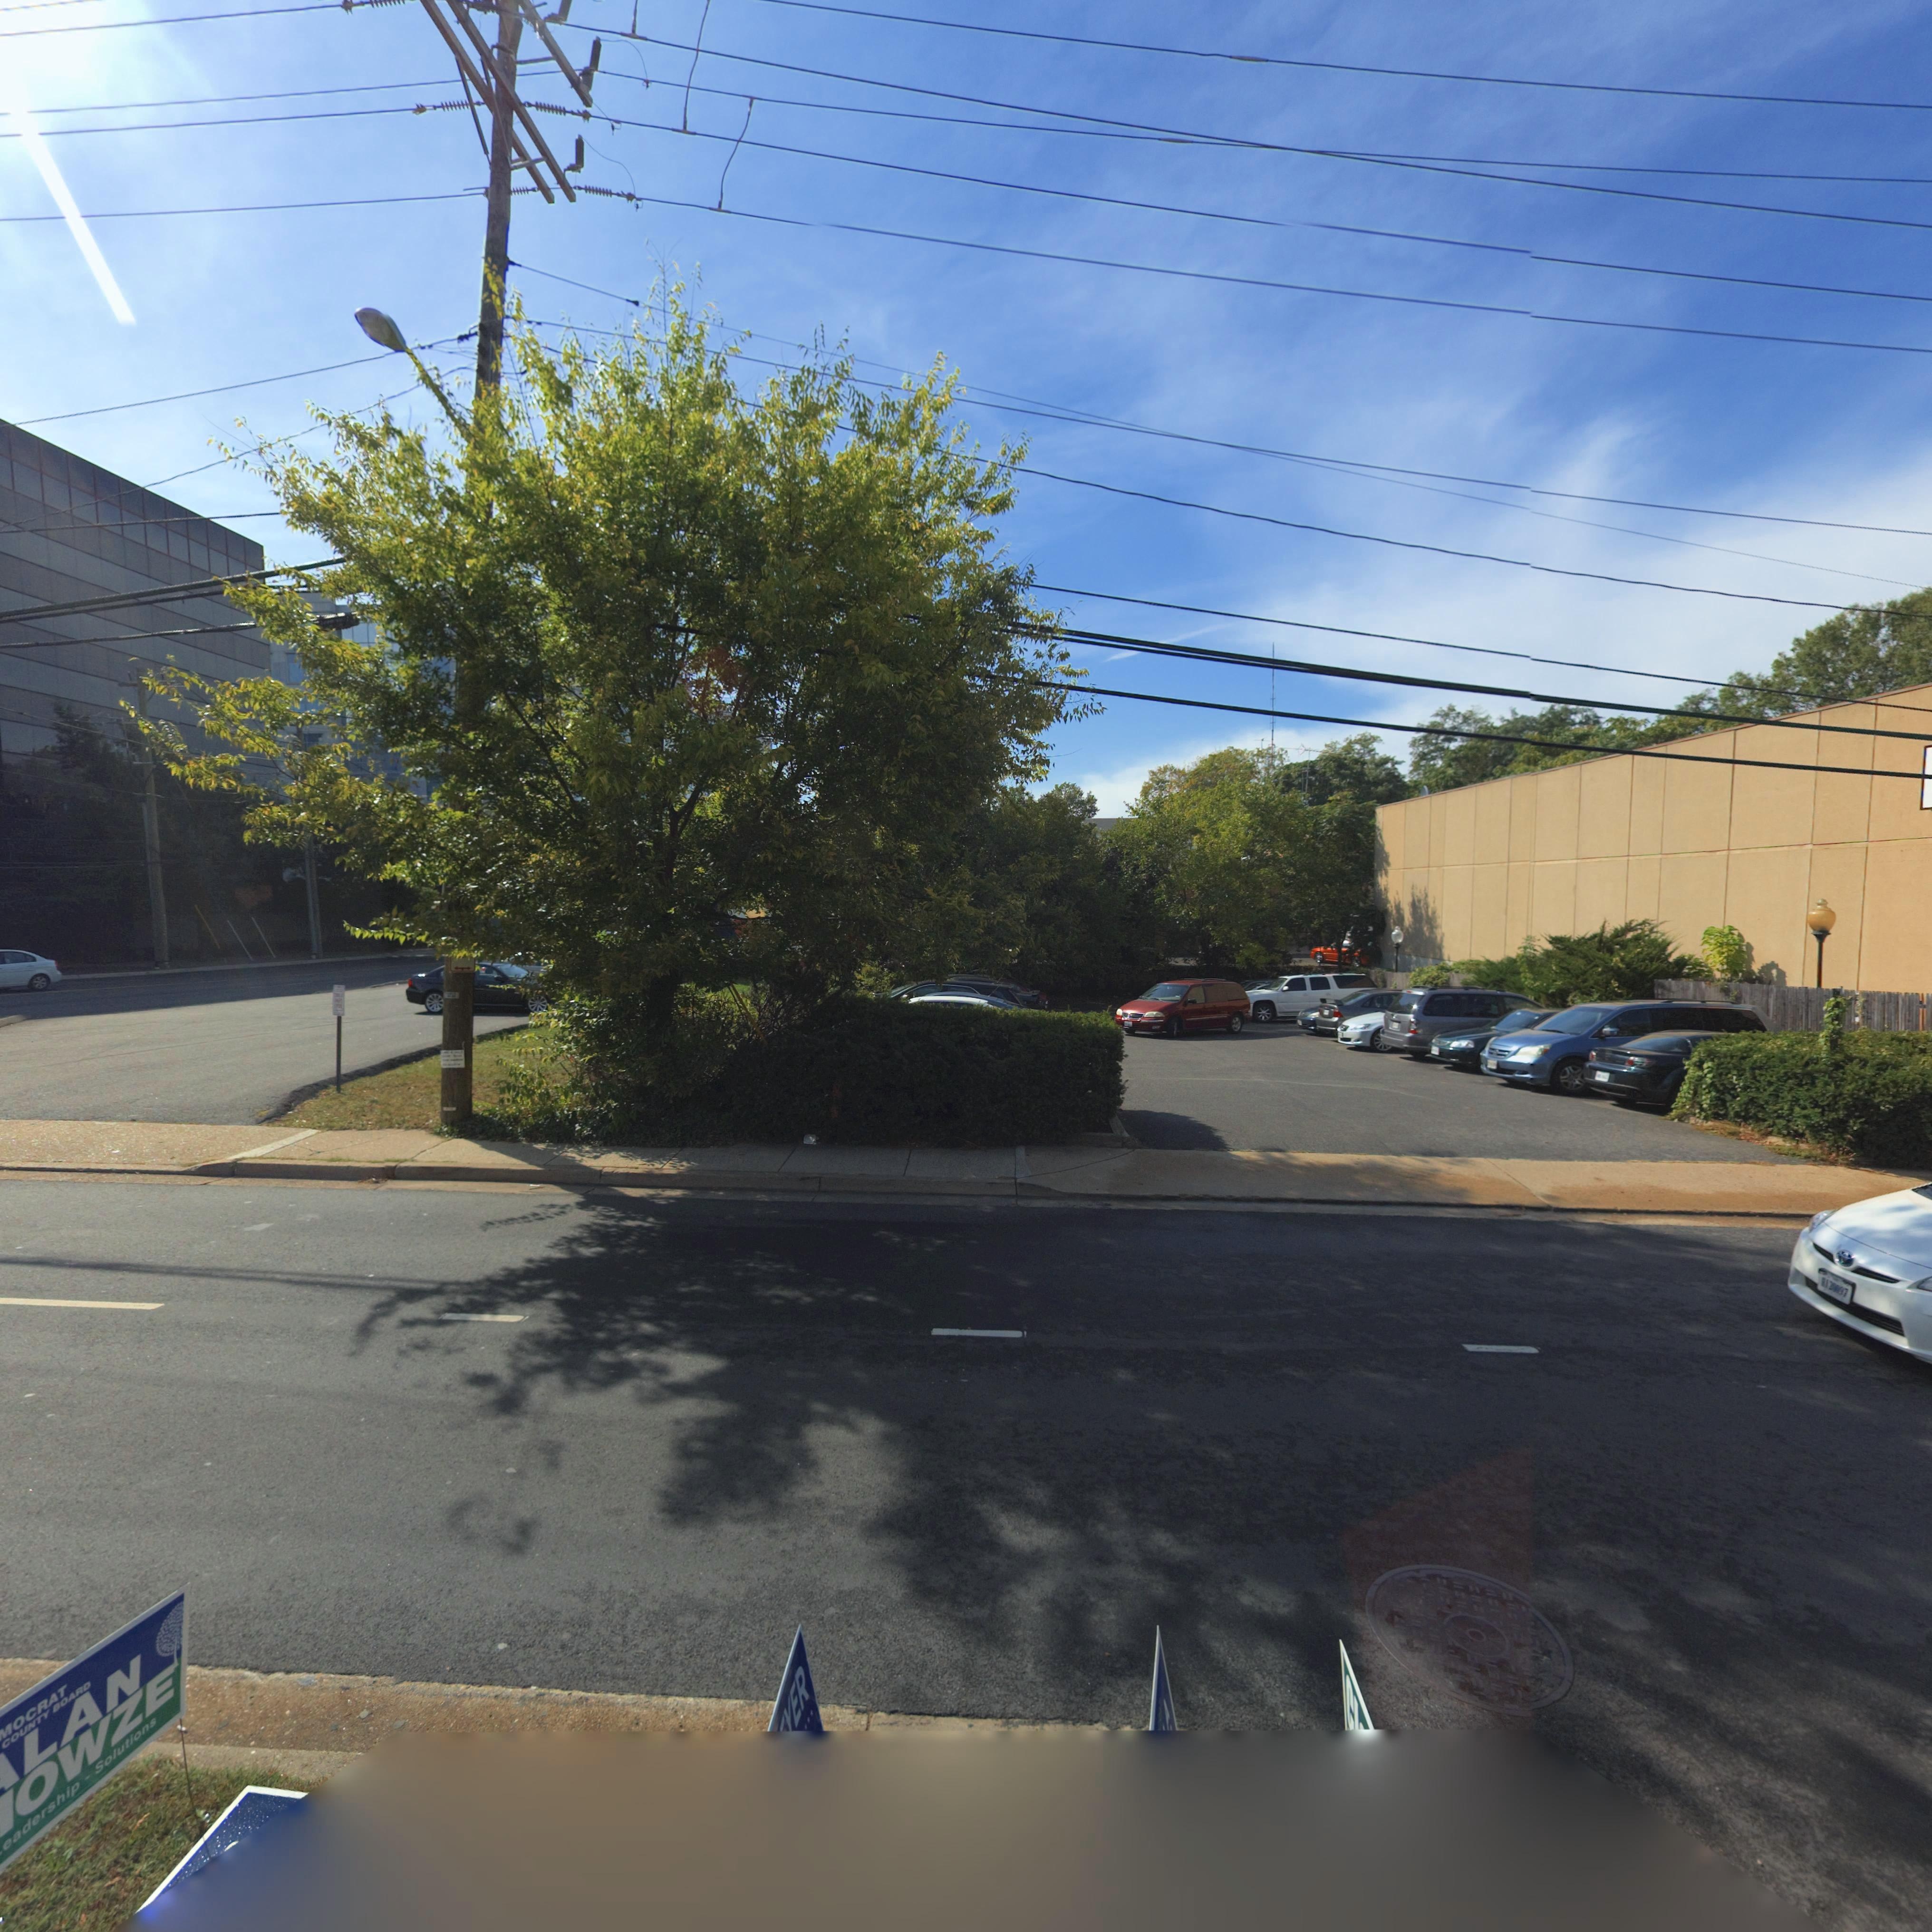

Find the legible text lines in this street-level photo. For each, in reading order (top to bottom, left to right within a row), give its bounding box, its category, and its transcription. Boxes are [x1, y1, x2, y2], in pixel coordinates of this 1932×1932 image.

[1821, 1276, 1849, 1298] None: R120097
[0, 1681, 68, 1742] None: MOCRAT
[2, 1680, 92, 1751] None: COUNTY BOARD
[13, 1662, 175, 1817] None: OWZE
[783, 1665, 810, 1734] None: *ER
[3, 1716, 157, 1853] None: eadership * Solutions